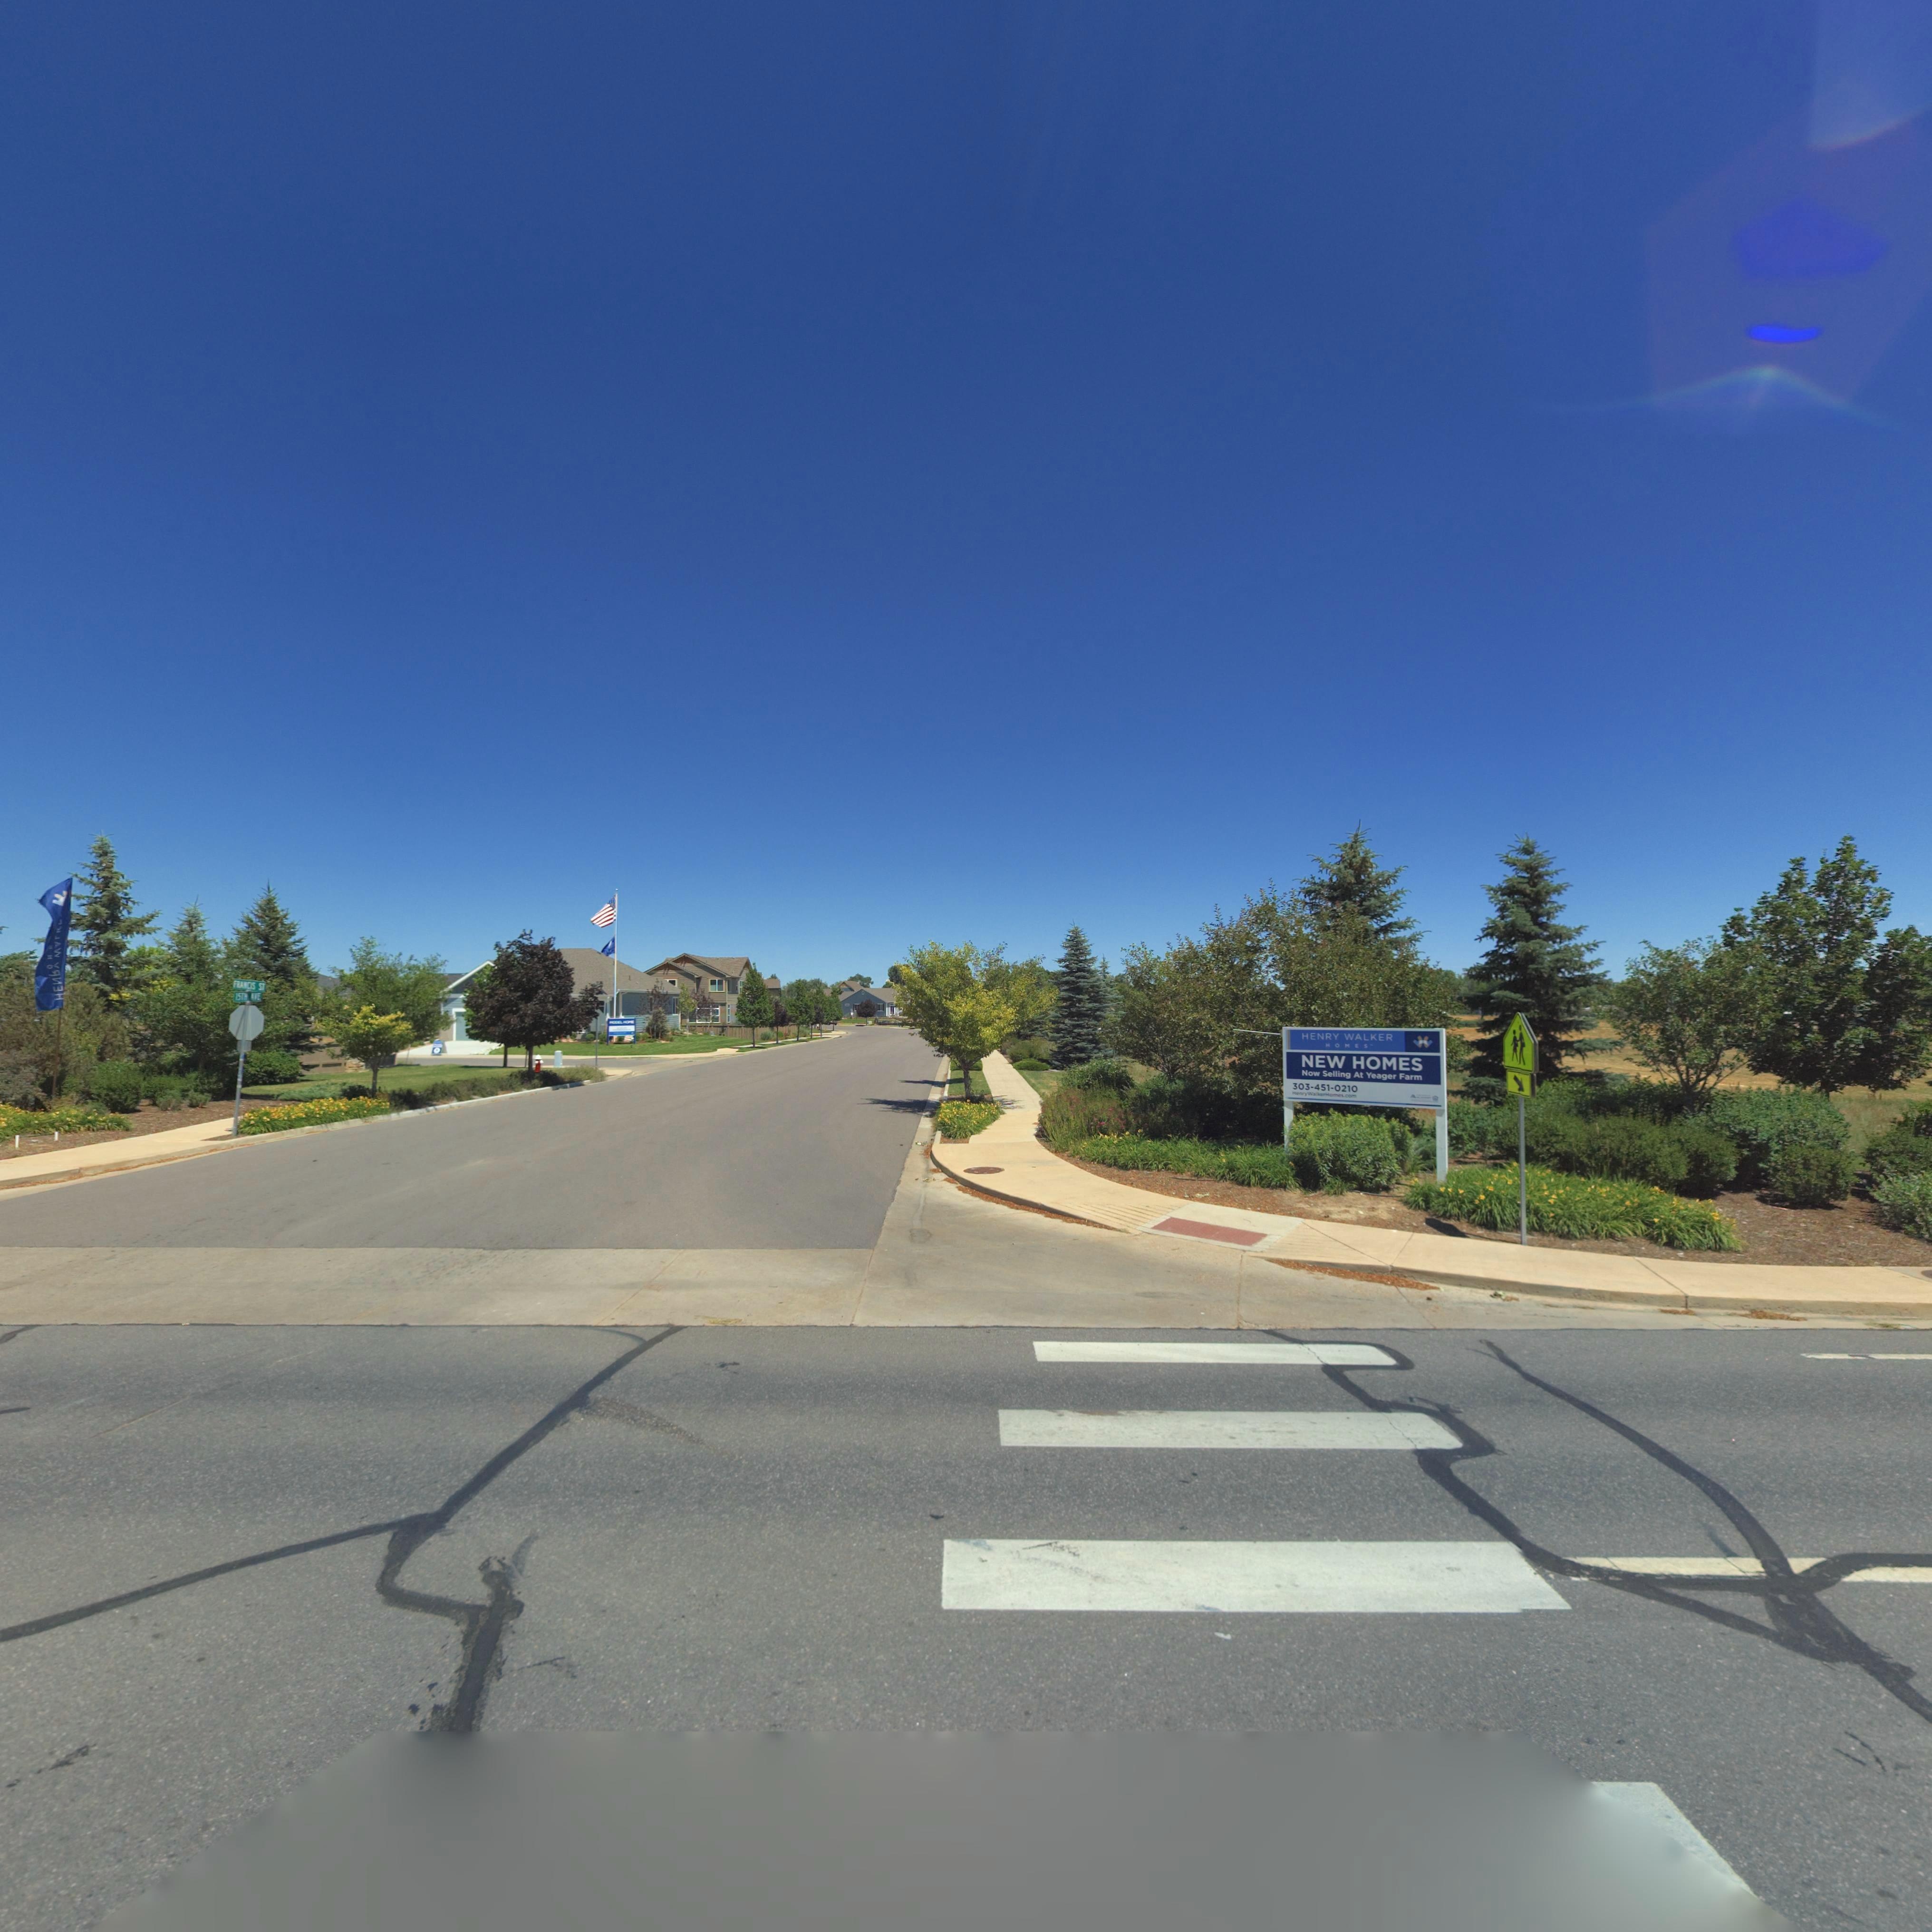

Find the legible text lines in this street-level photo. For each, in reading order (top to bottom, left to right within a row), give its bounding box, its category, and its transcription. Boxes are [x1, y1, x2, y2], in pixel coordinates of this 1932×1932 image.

[232, 979, 265, 990] StreetName: FRANCIS ST